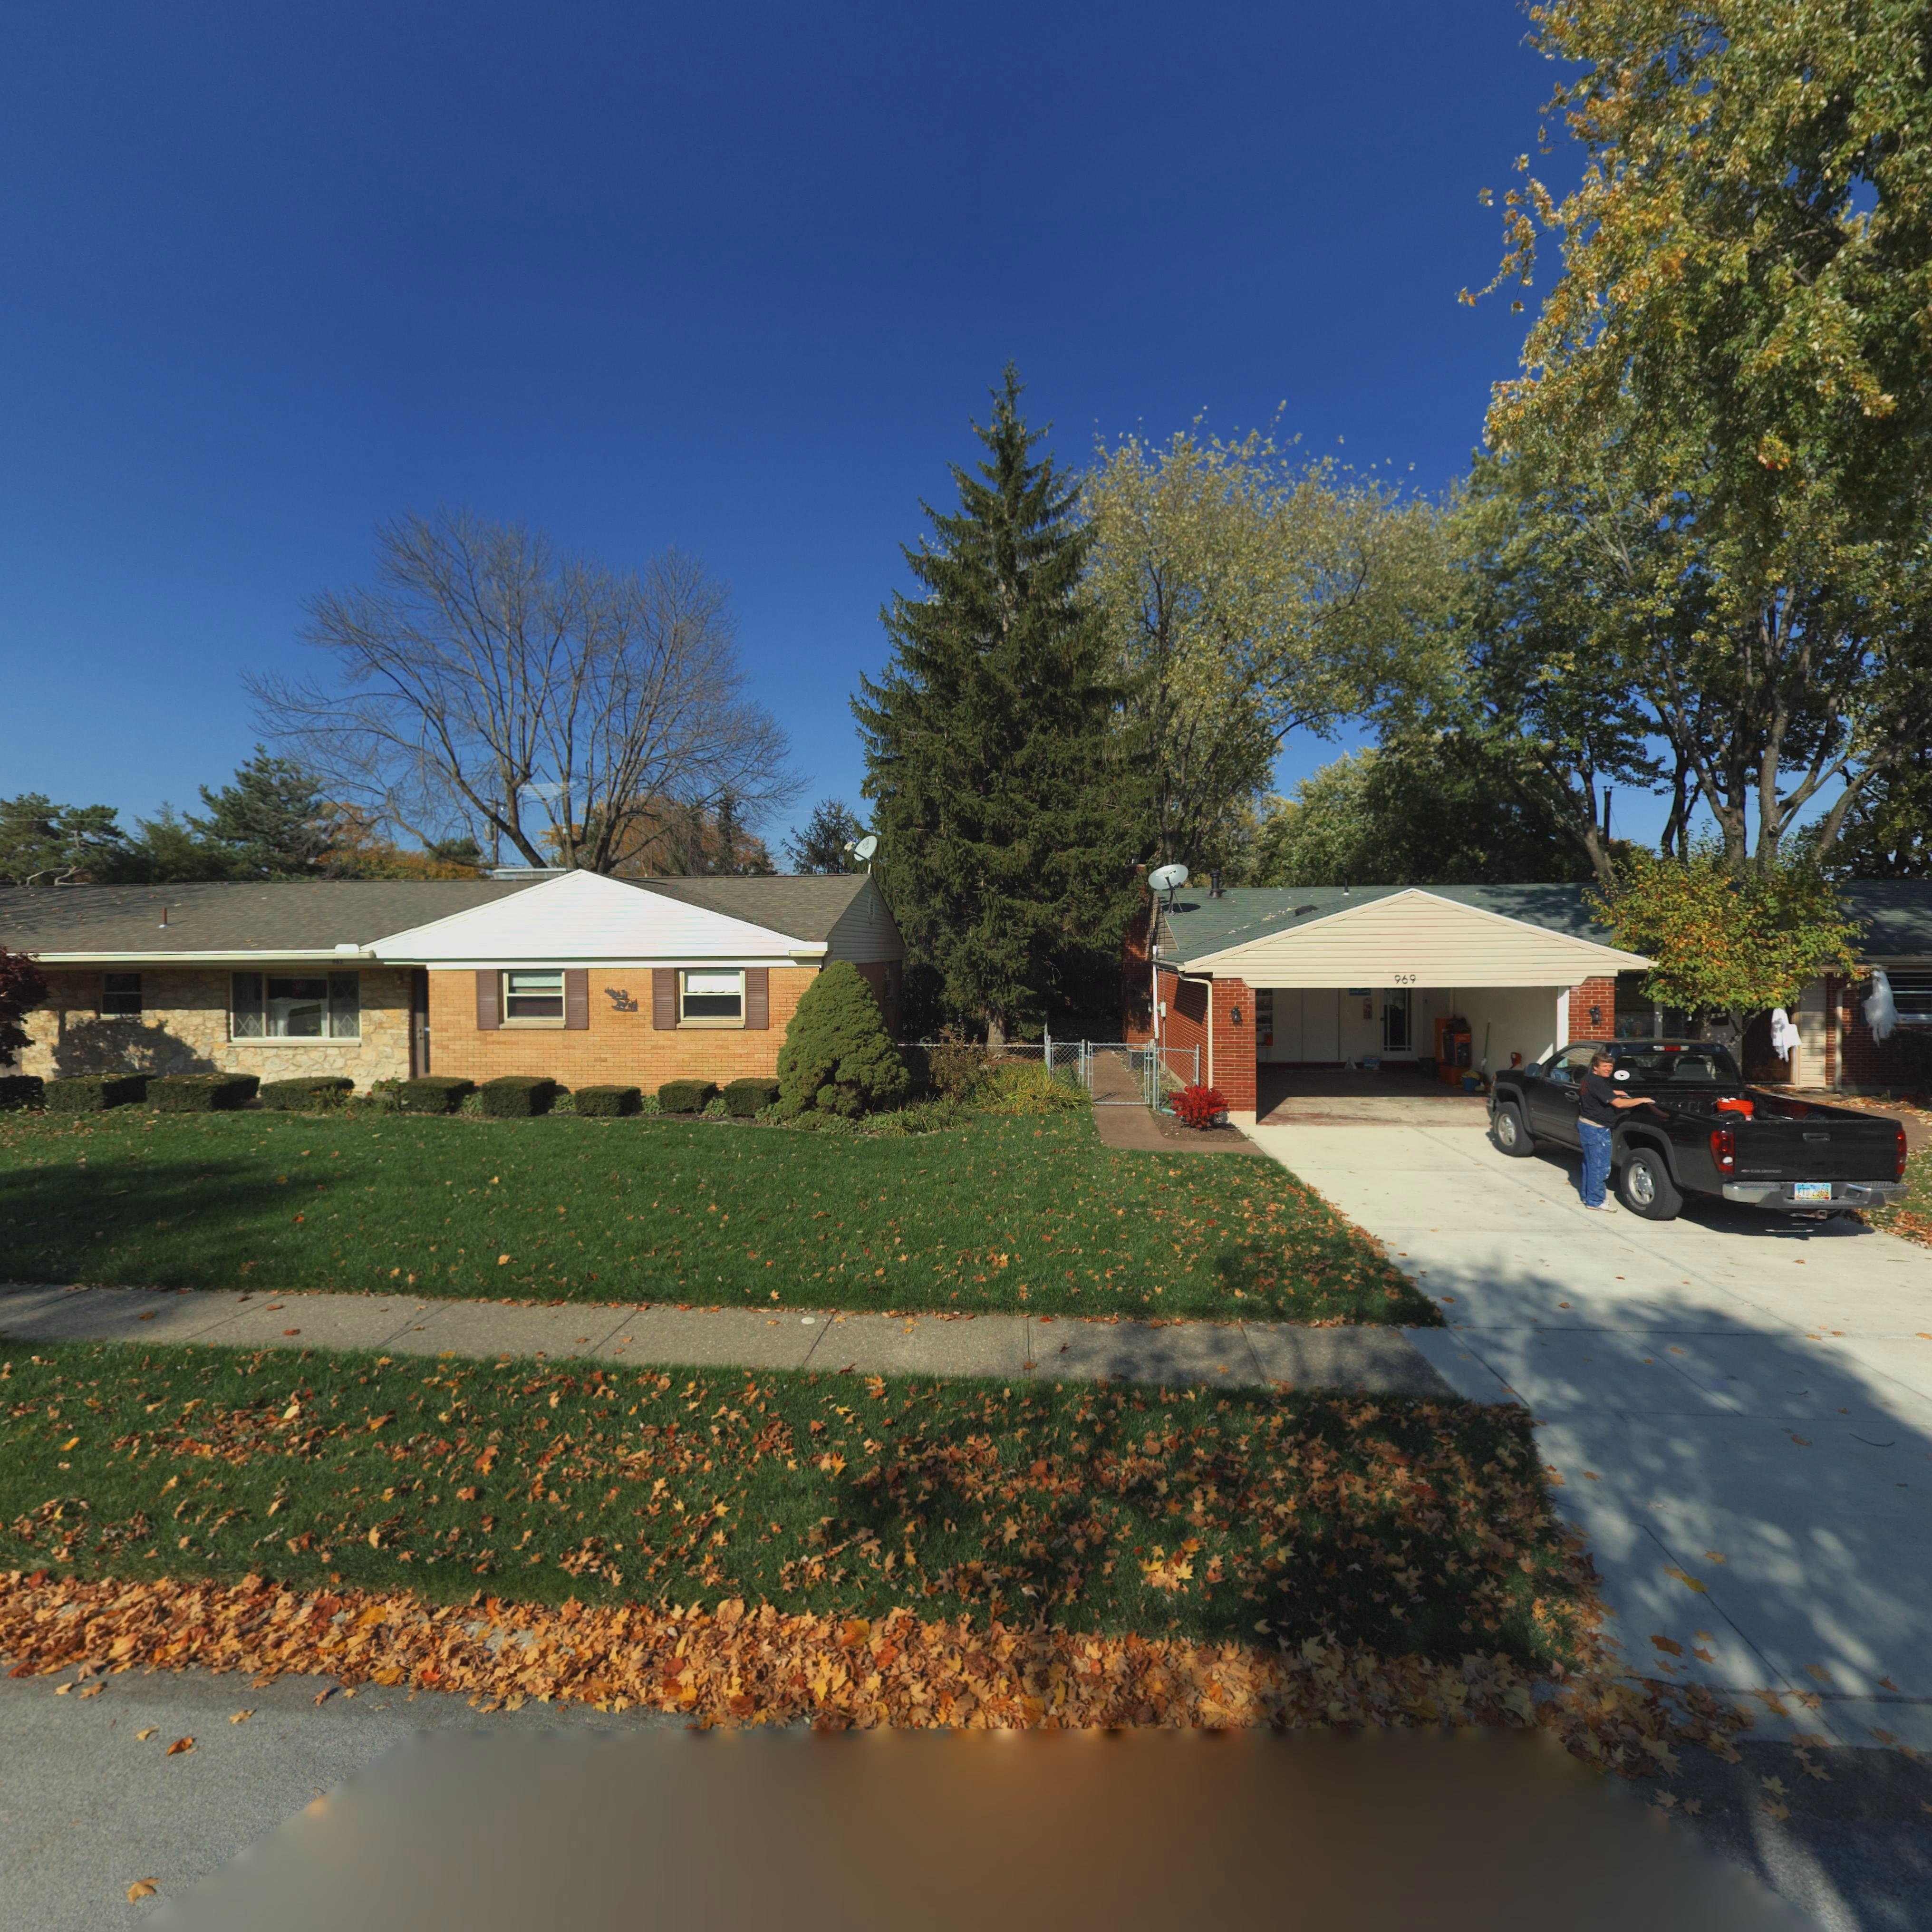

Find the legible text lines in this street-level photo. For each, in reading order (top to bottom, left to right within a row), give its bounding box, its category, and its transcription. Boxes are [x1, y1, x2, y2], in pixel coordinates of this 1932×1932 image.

[1393, 973, 1417, 985] StreetNumber: 969